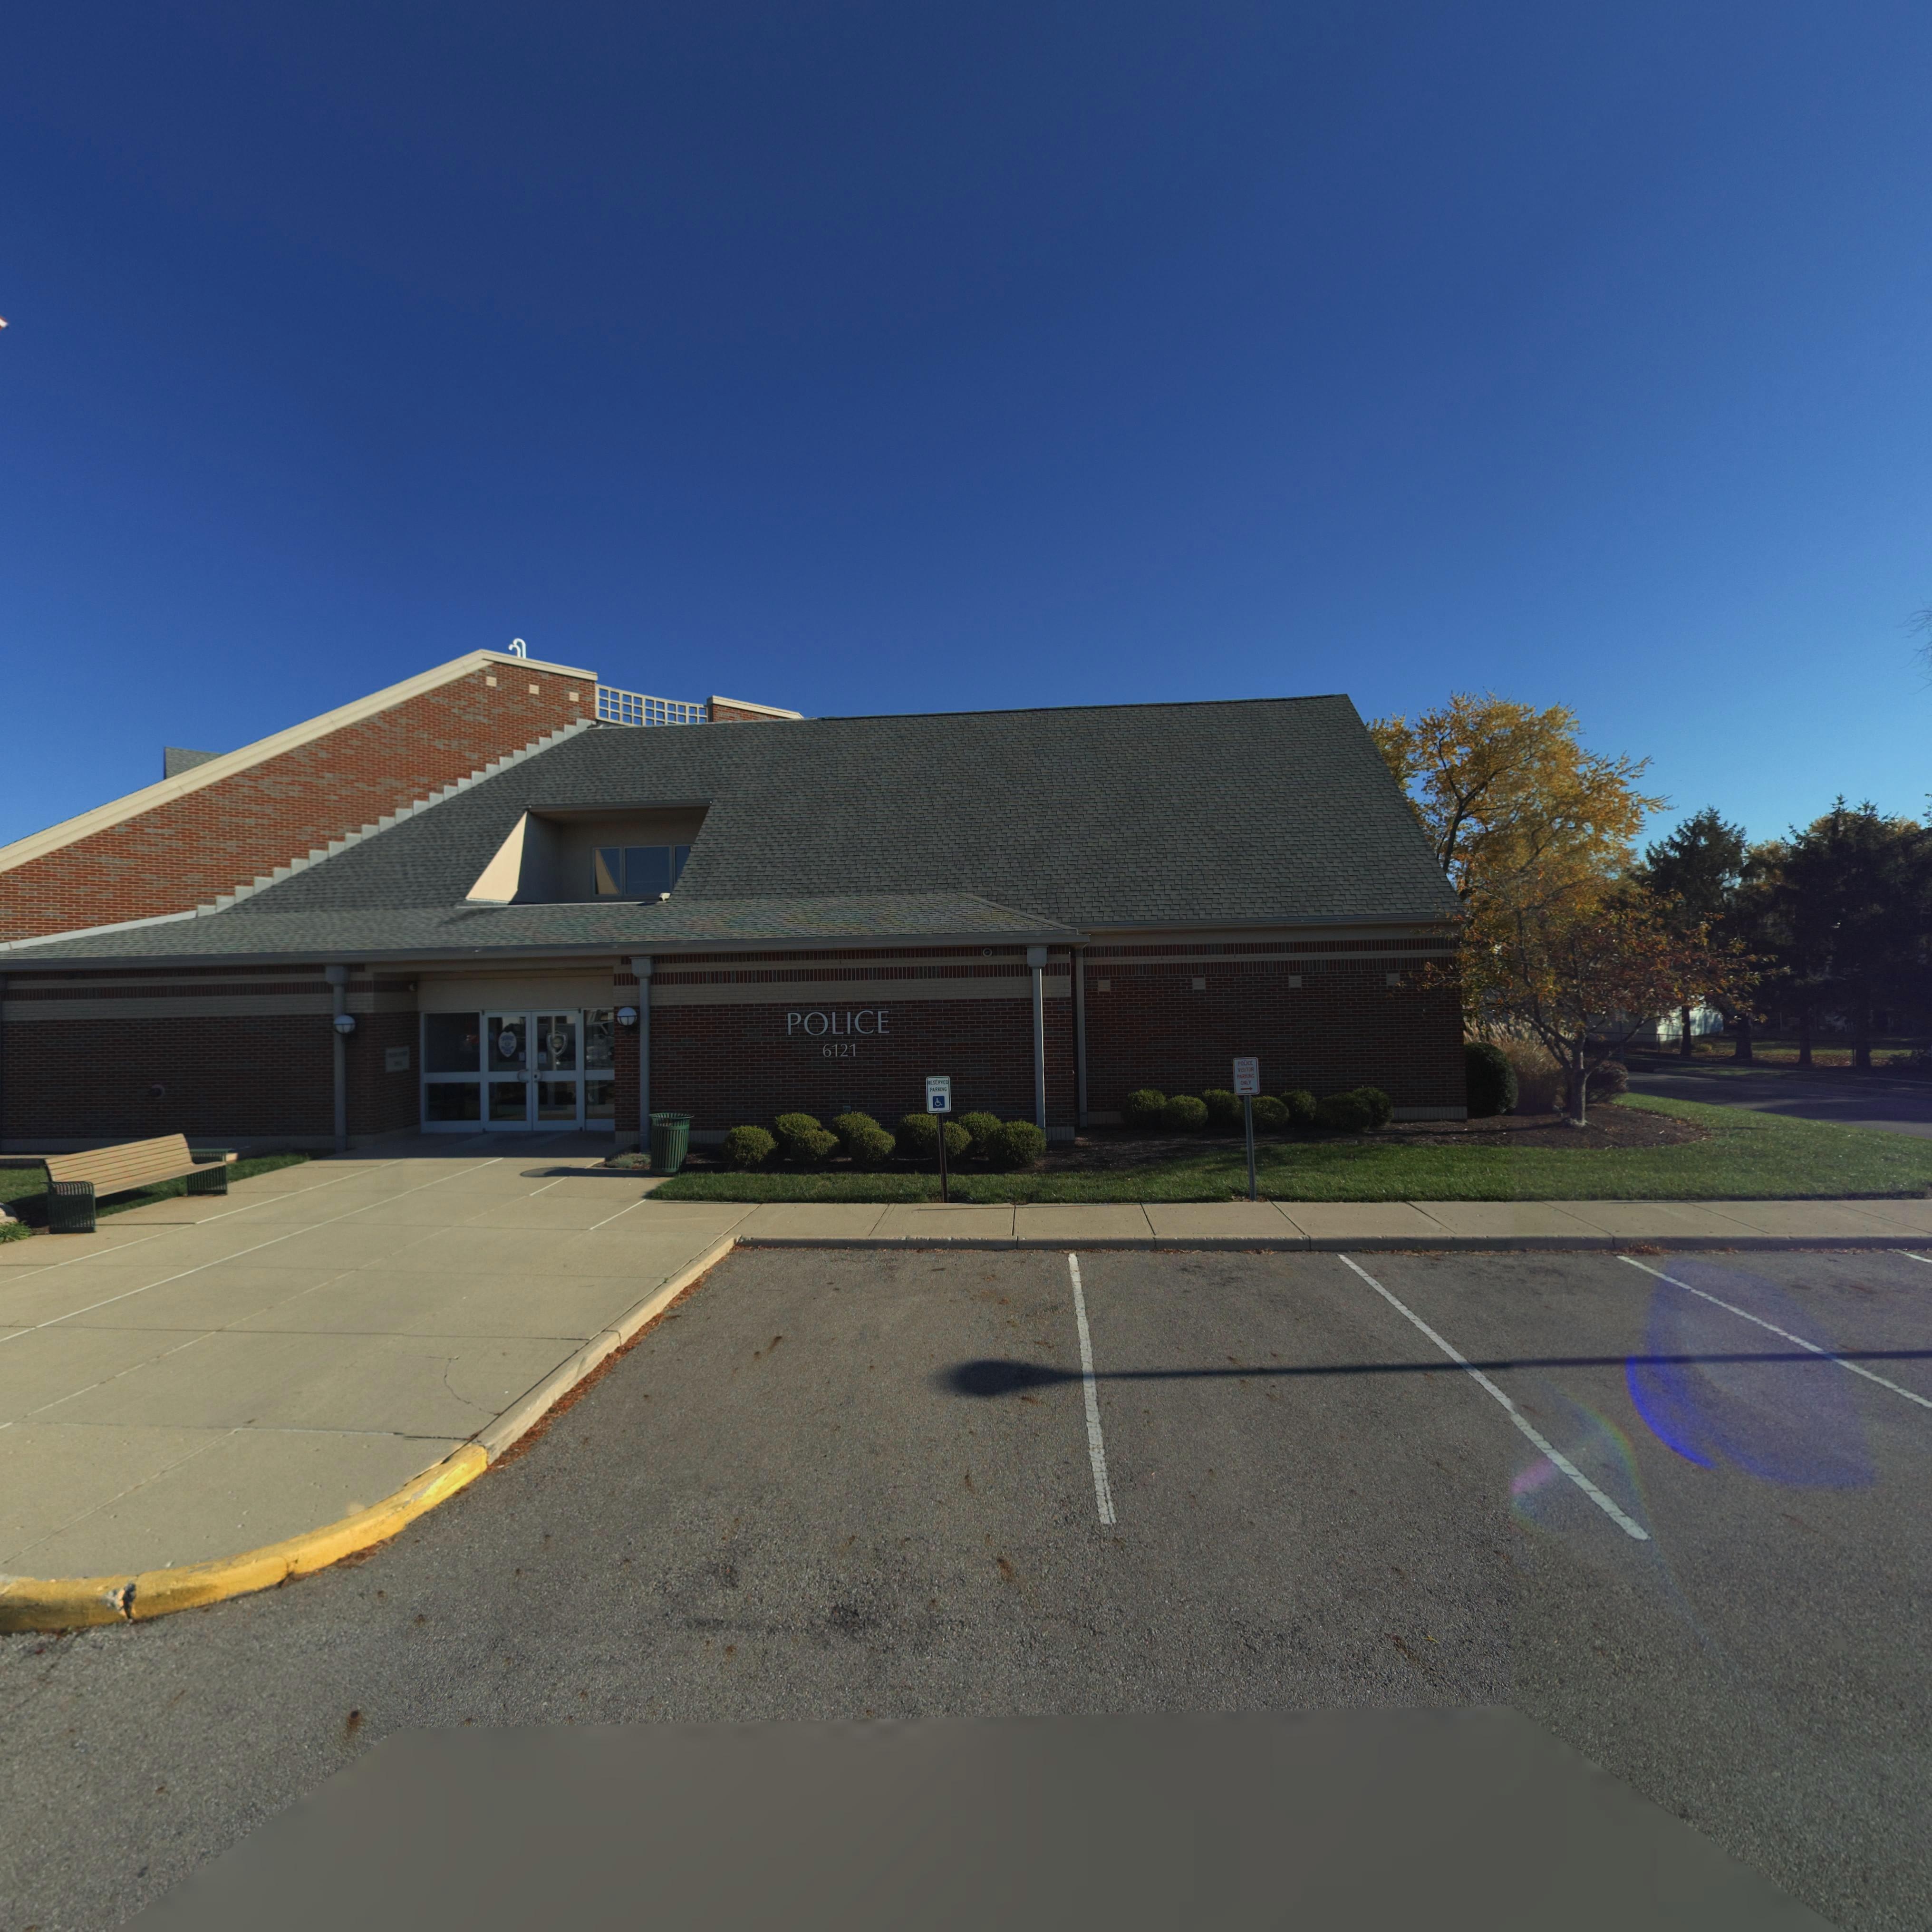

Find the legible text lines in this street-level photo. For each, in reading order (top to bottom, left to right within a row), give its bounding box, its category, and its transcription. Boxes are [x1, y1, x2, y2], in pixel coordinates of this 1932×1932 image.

[822, 1043, 856, 1058] StreetNumber: 6121